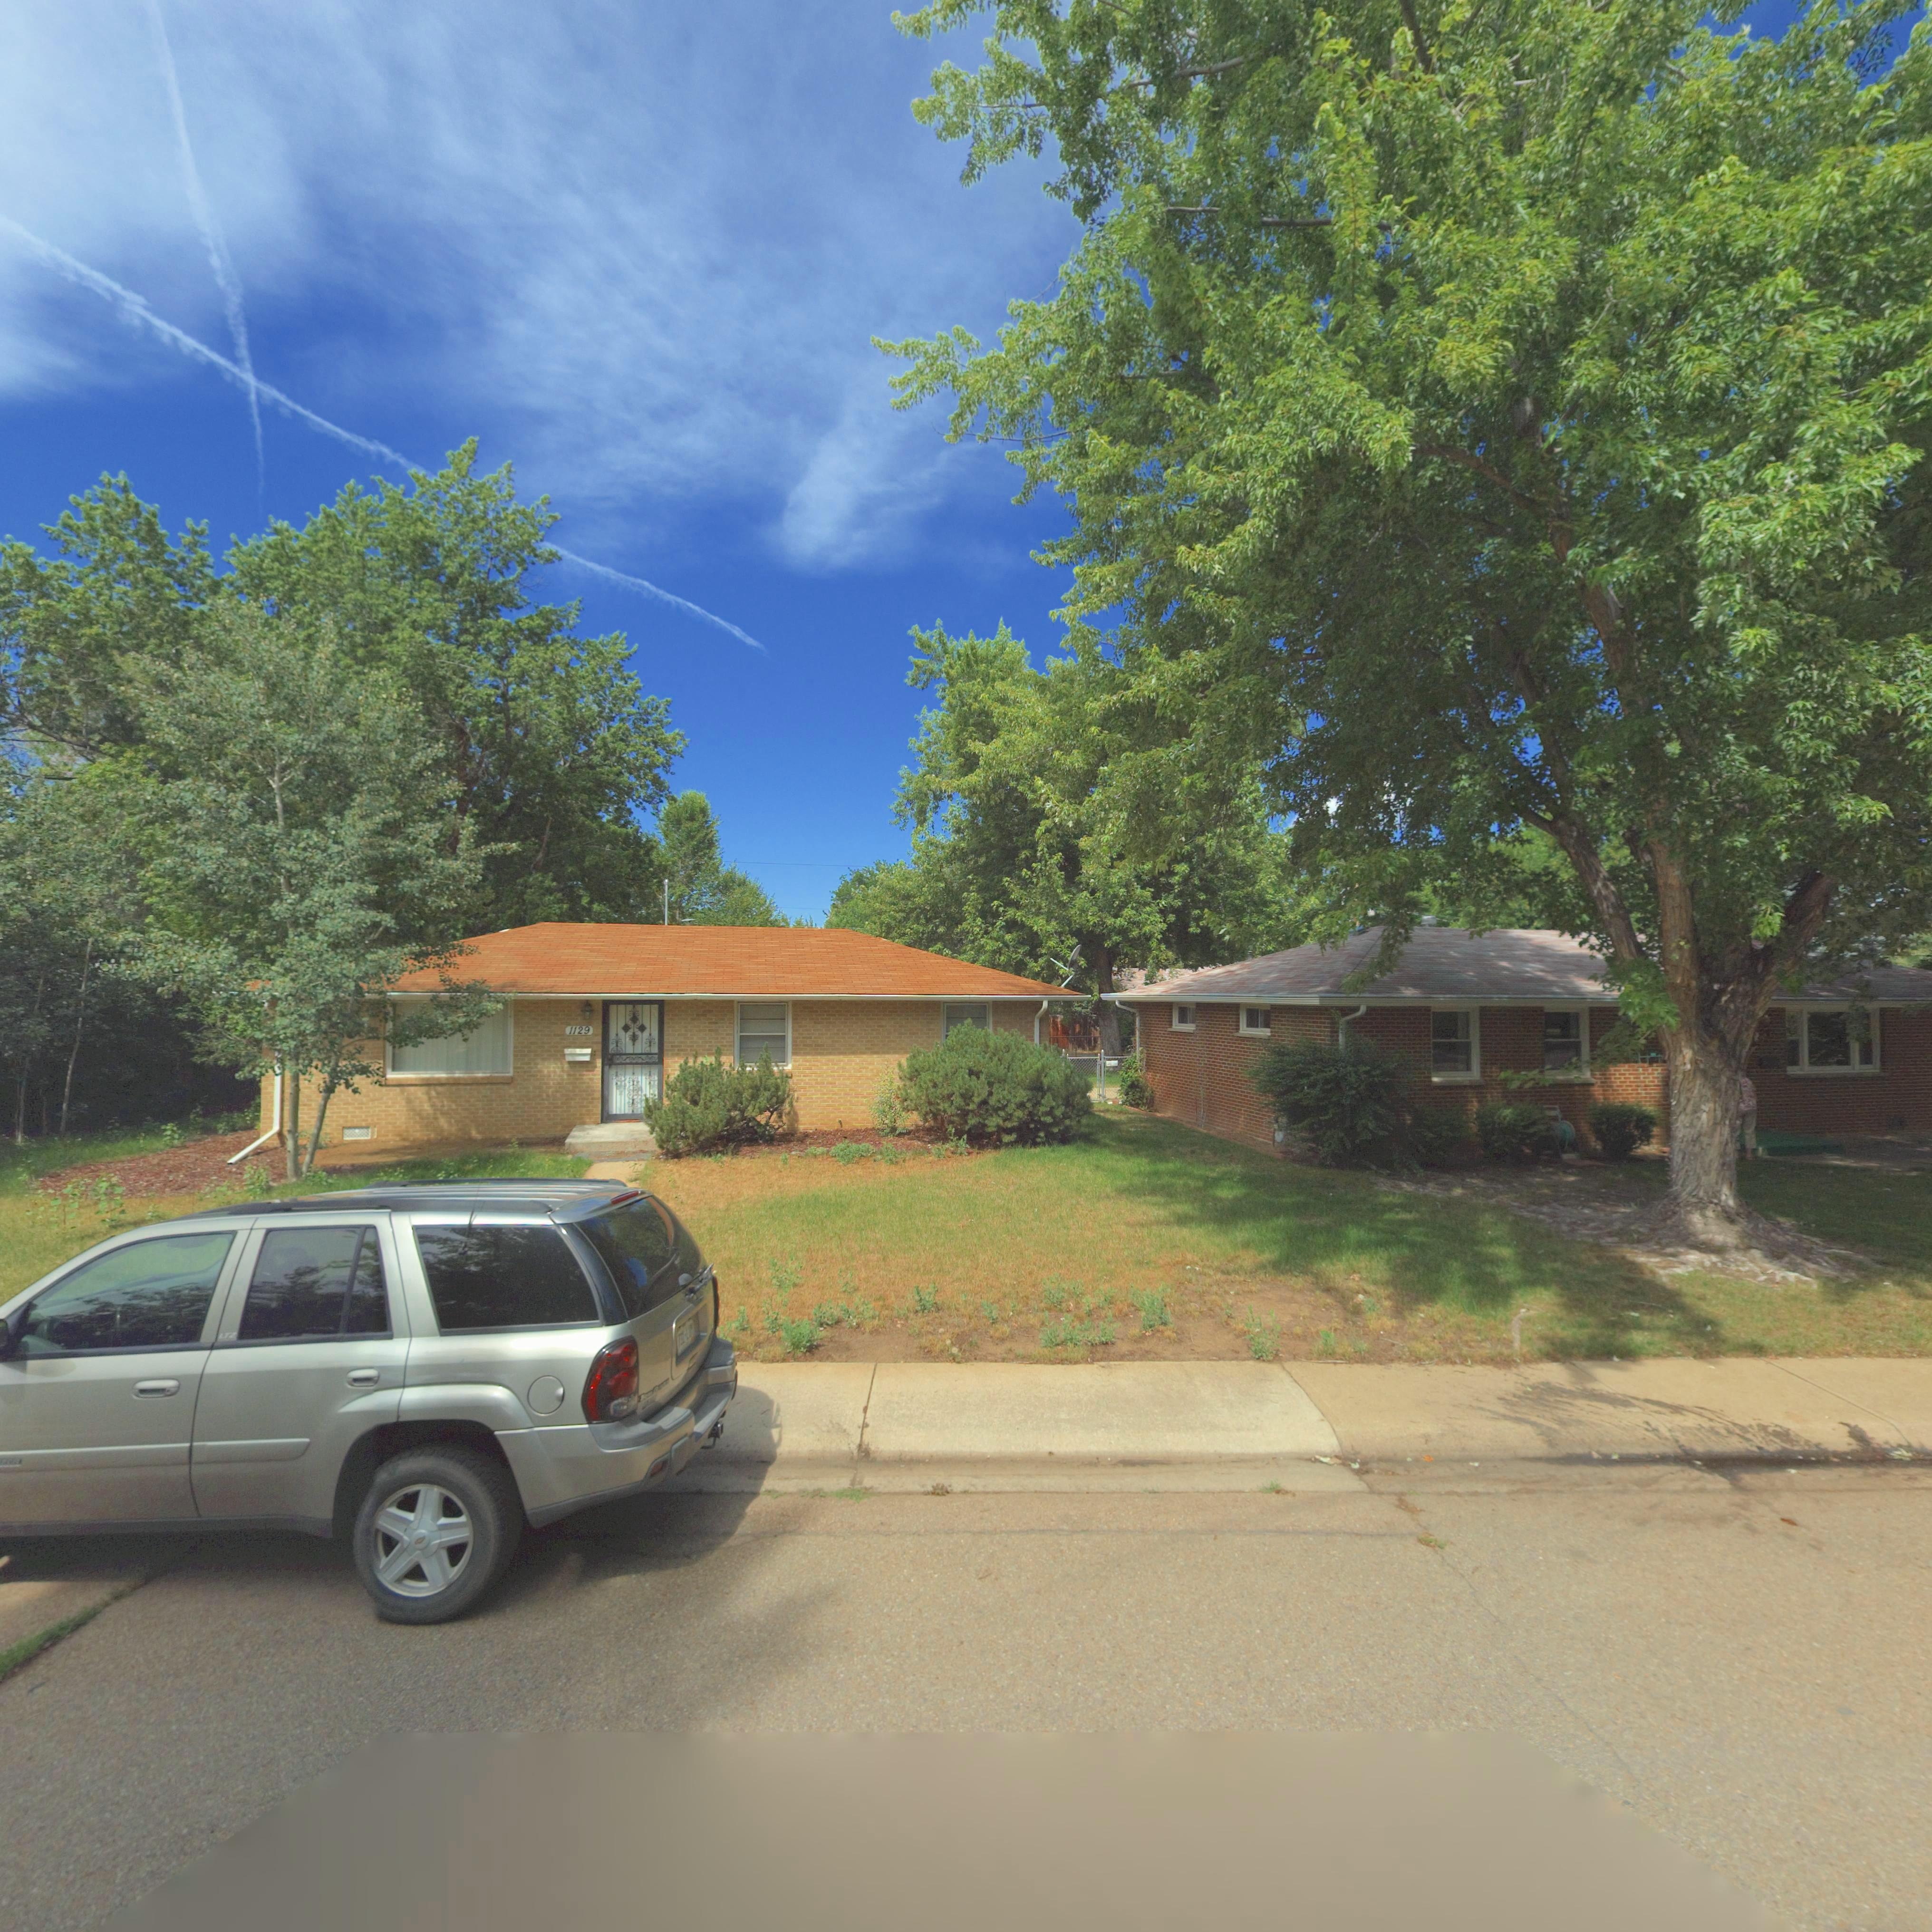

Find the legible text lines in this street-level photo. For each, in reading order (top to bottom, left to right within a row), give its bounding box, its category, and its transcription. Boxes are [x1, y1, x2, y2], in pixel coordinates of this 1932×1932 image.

[569, 1026, 590, 1034] StreetNumber: 1129